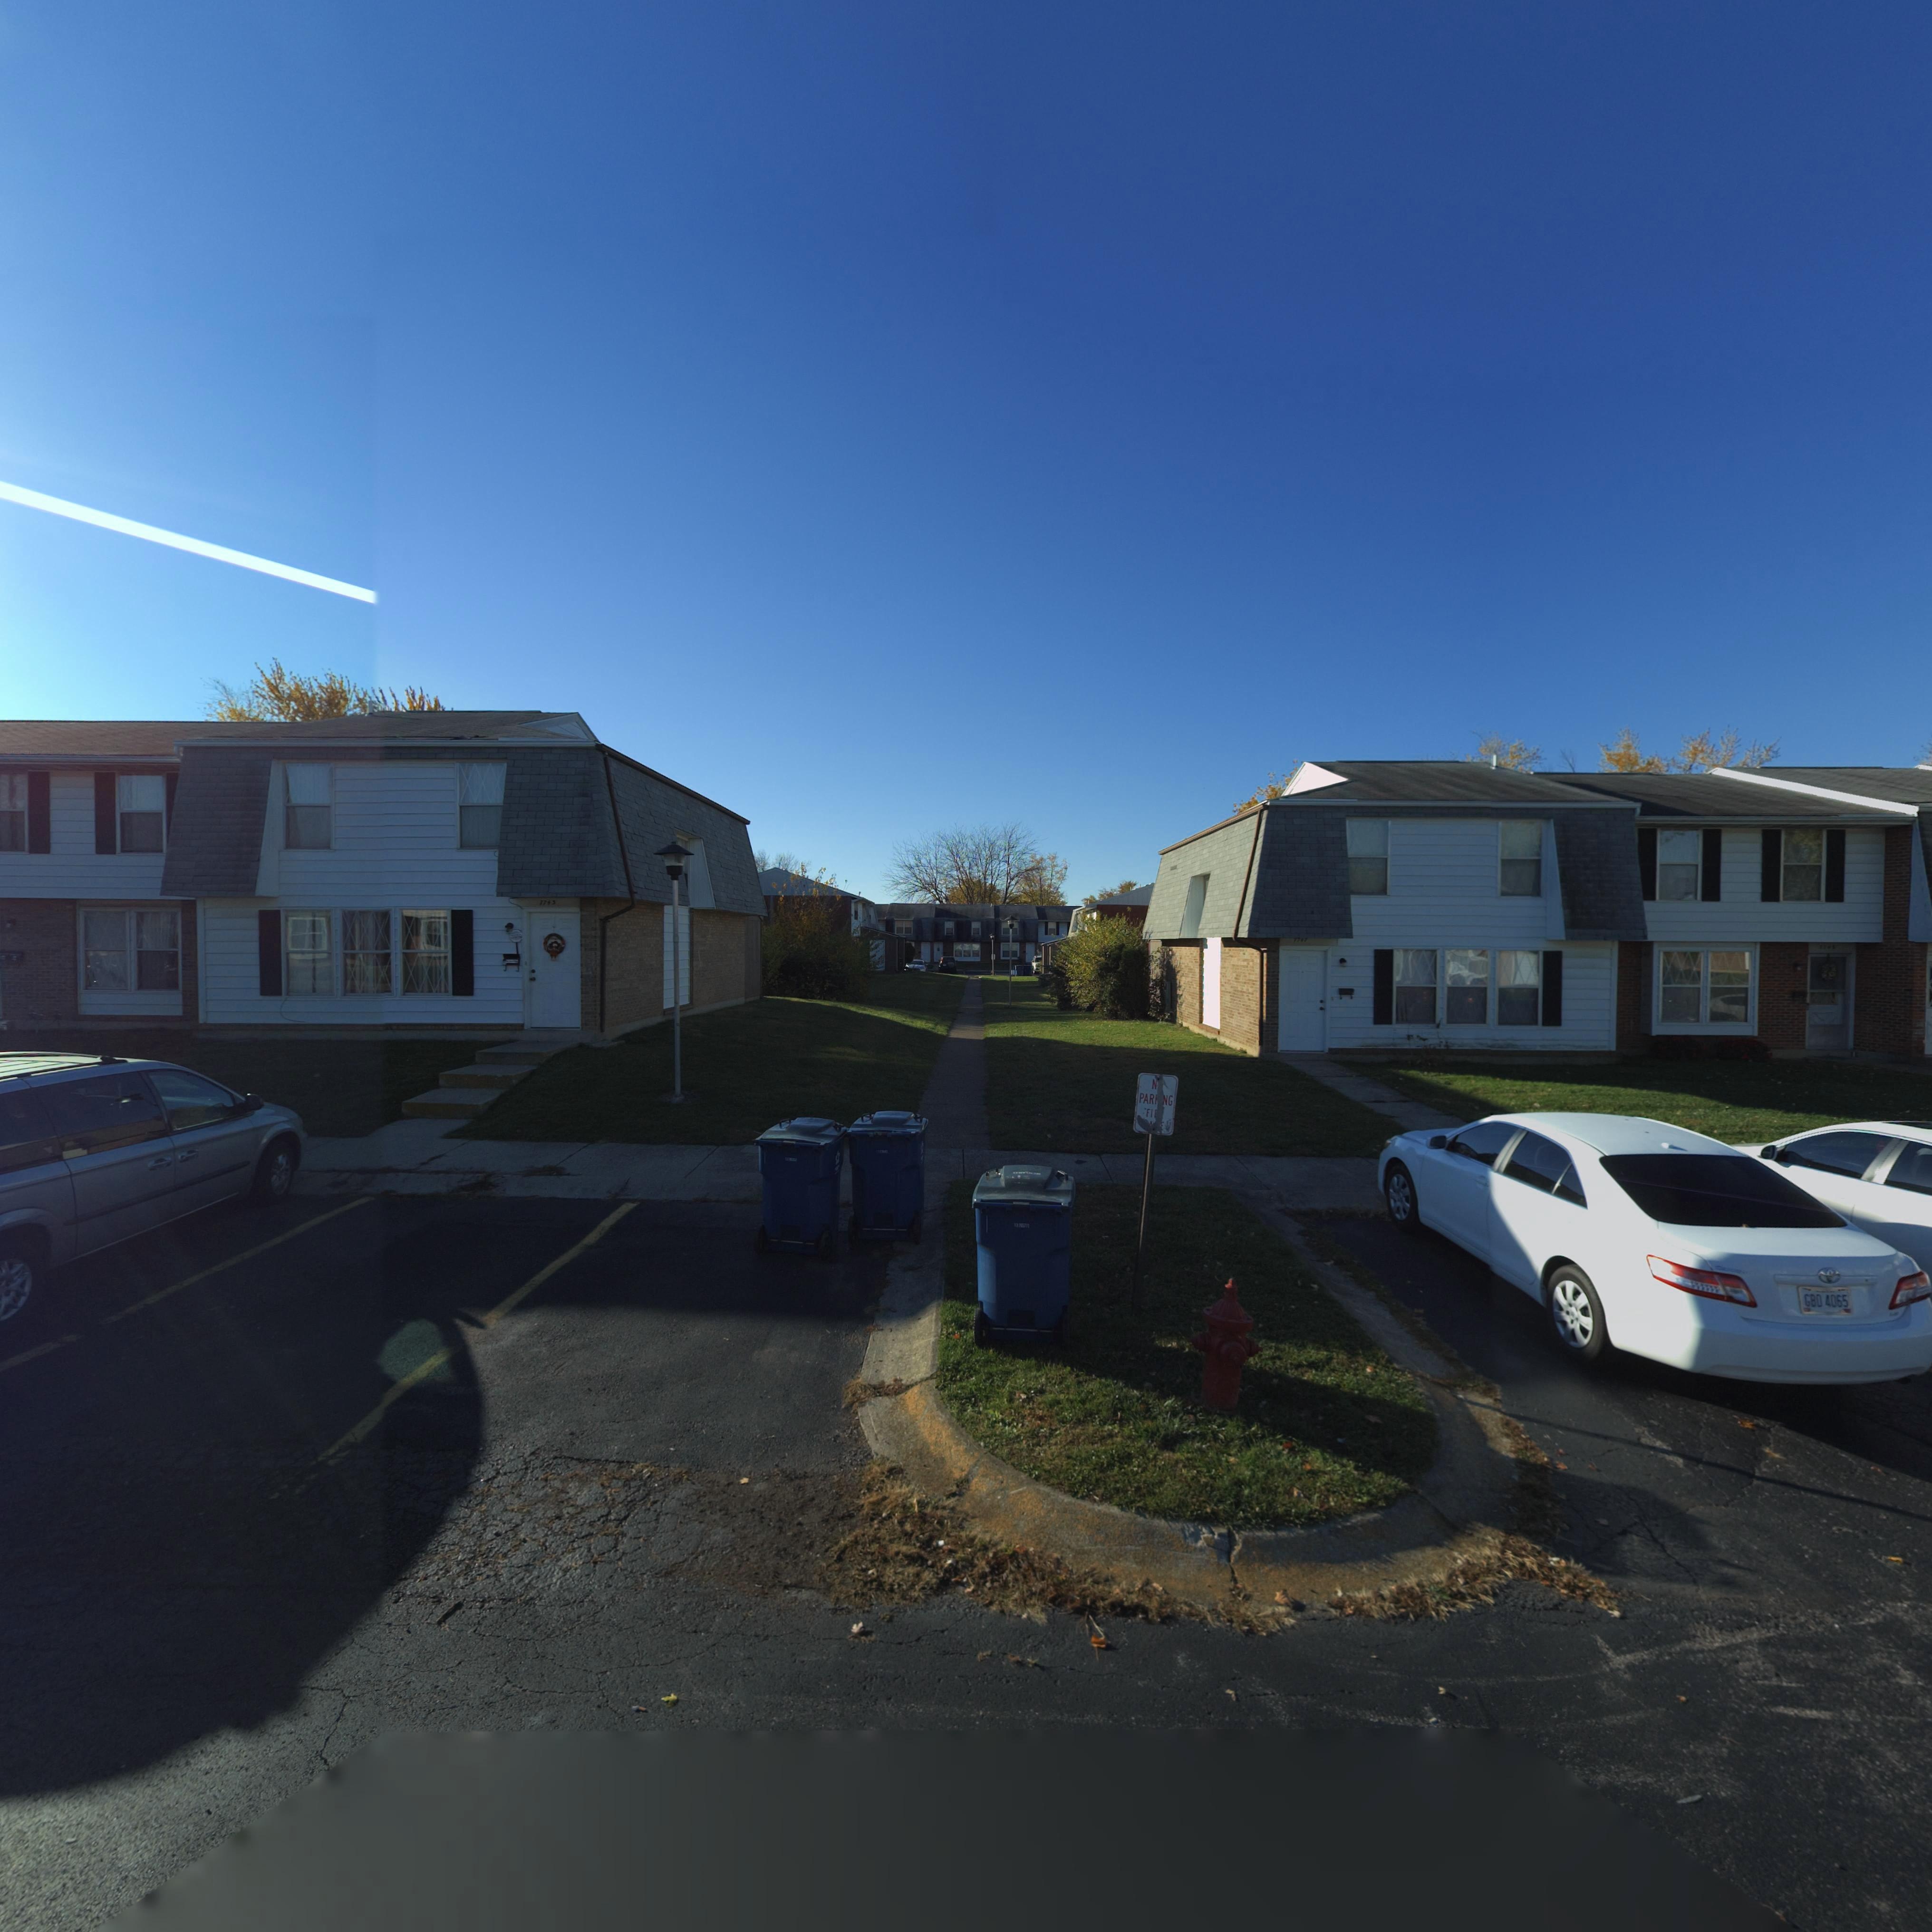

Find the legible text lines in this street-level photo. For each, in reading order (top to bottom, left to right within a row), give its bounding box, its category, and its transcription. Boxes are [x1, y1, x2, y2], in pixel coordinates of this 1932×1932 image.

[539, 899, 556, 906] StreetNumber: 7743
[1292, 937, 1309, 943] StreetNumber: 7747
[1818, 944, 1837, 950] StreetNumber: 77**